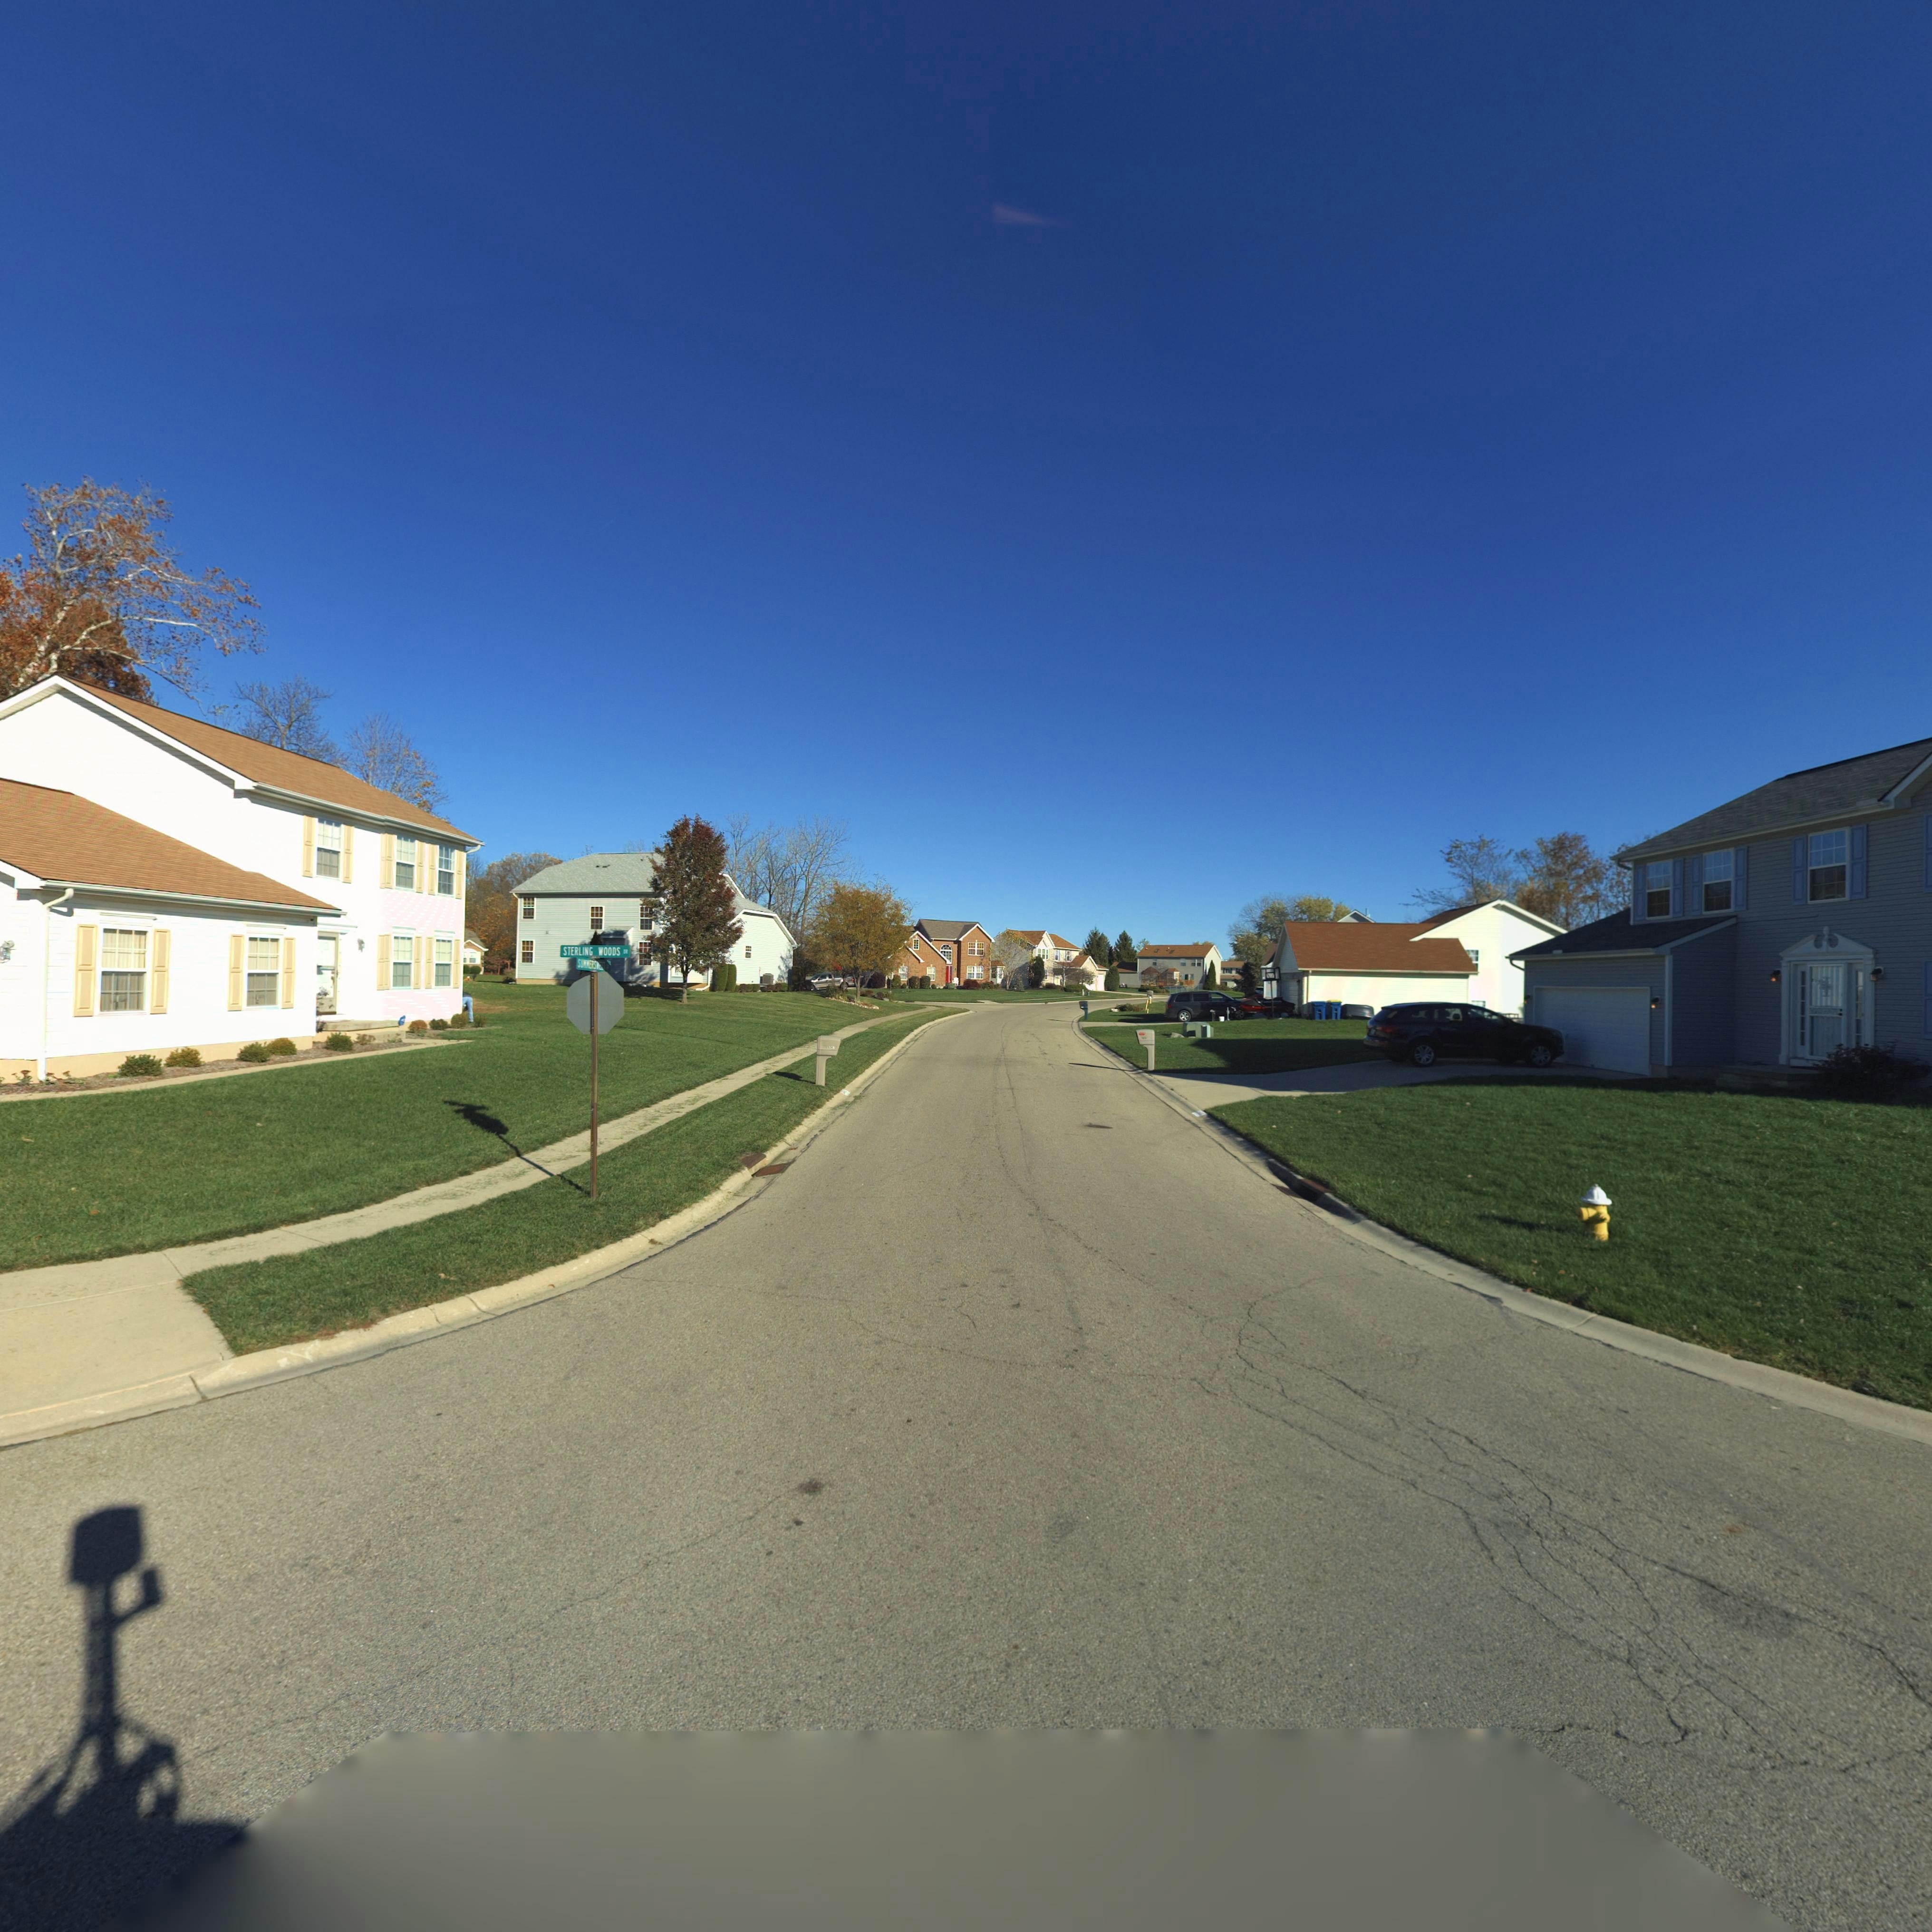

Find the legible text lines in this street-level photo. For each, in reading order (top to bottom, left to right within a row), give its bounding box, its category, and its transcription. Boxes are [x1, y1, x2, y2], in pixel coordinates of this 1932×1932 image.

[563, 947, 621, 956] StreetName: STERLING WOODS
[577, 958, 606, 971] StreetName: SUMMERSWEE*
[1144, 1036, 1147, 1039] StreetNumber: 3
[831, 1046, 833, 1049] StreetNumber: 4